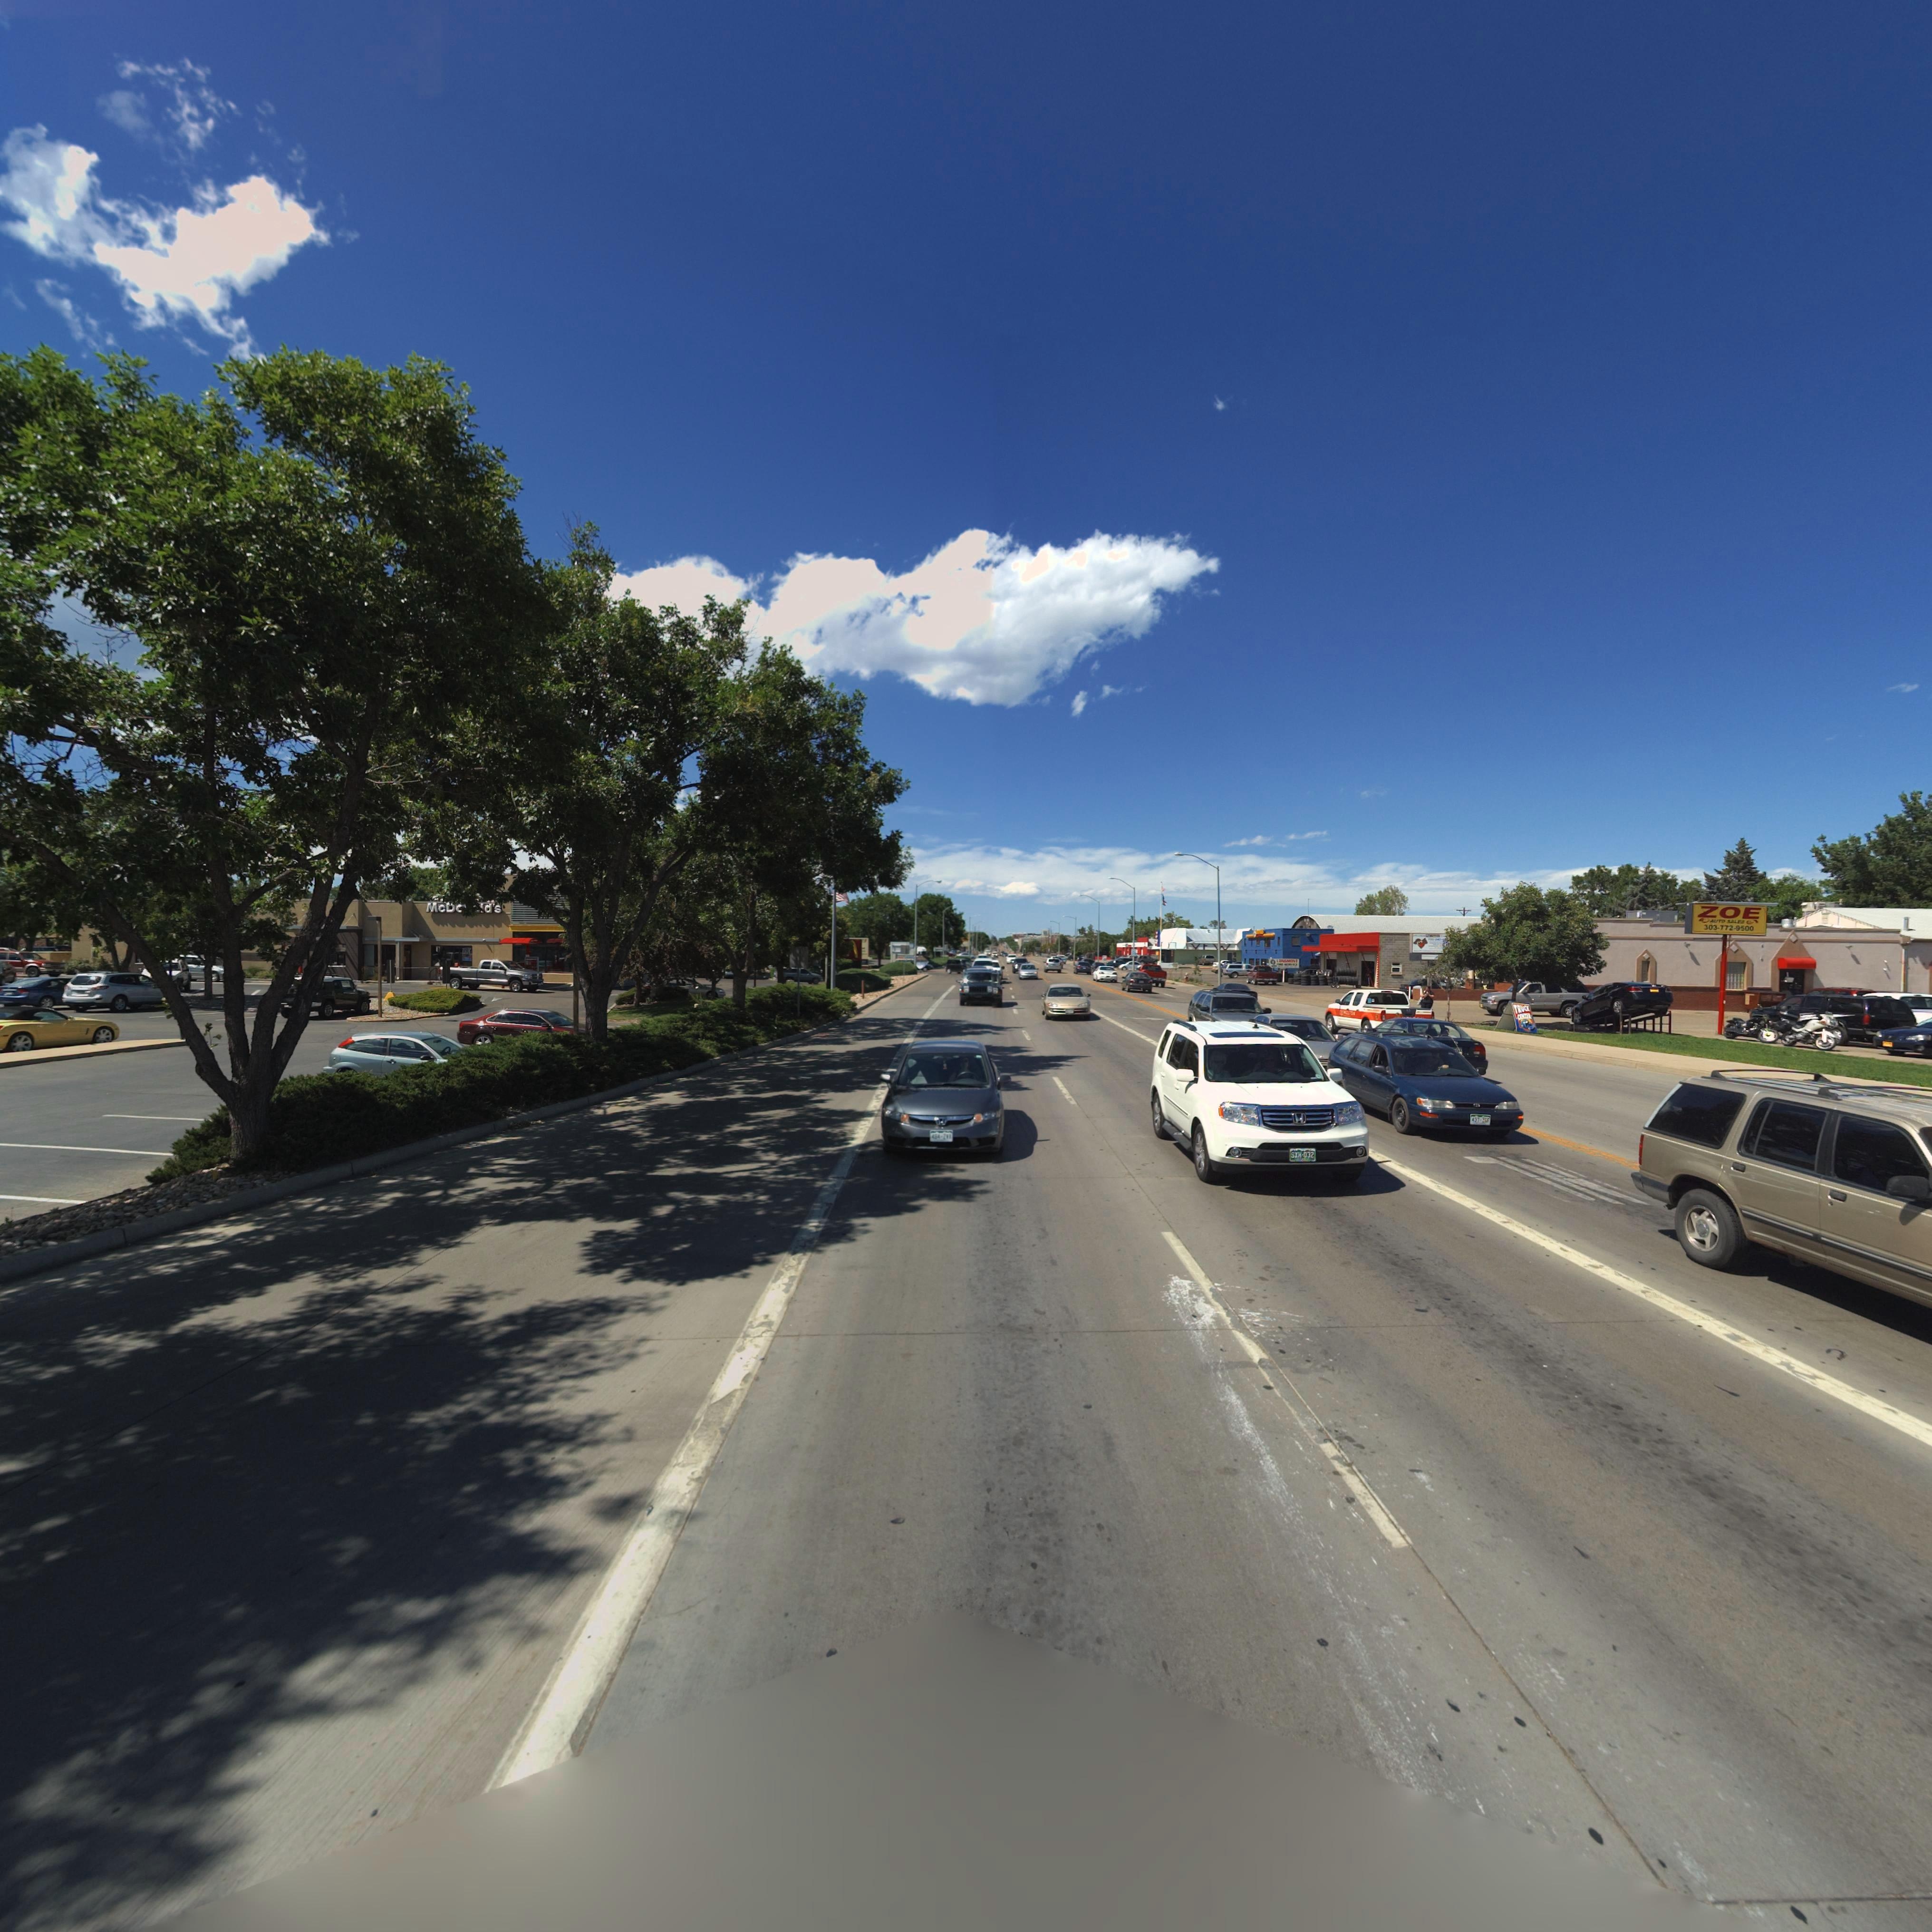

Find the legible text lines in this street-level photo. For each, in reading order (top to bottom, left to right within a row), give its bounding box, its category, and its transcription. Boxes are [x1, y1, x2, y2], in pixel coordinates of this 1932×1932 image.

[424, 902, 502, 914] BusinessName: McD****d*s
[1696, 905, 1762, 919] BusinessName: ZOE
[1276, 958, 1298, 962] BusinessName: LONGMONT